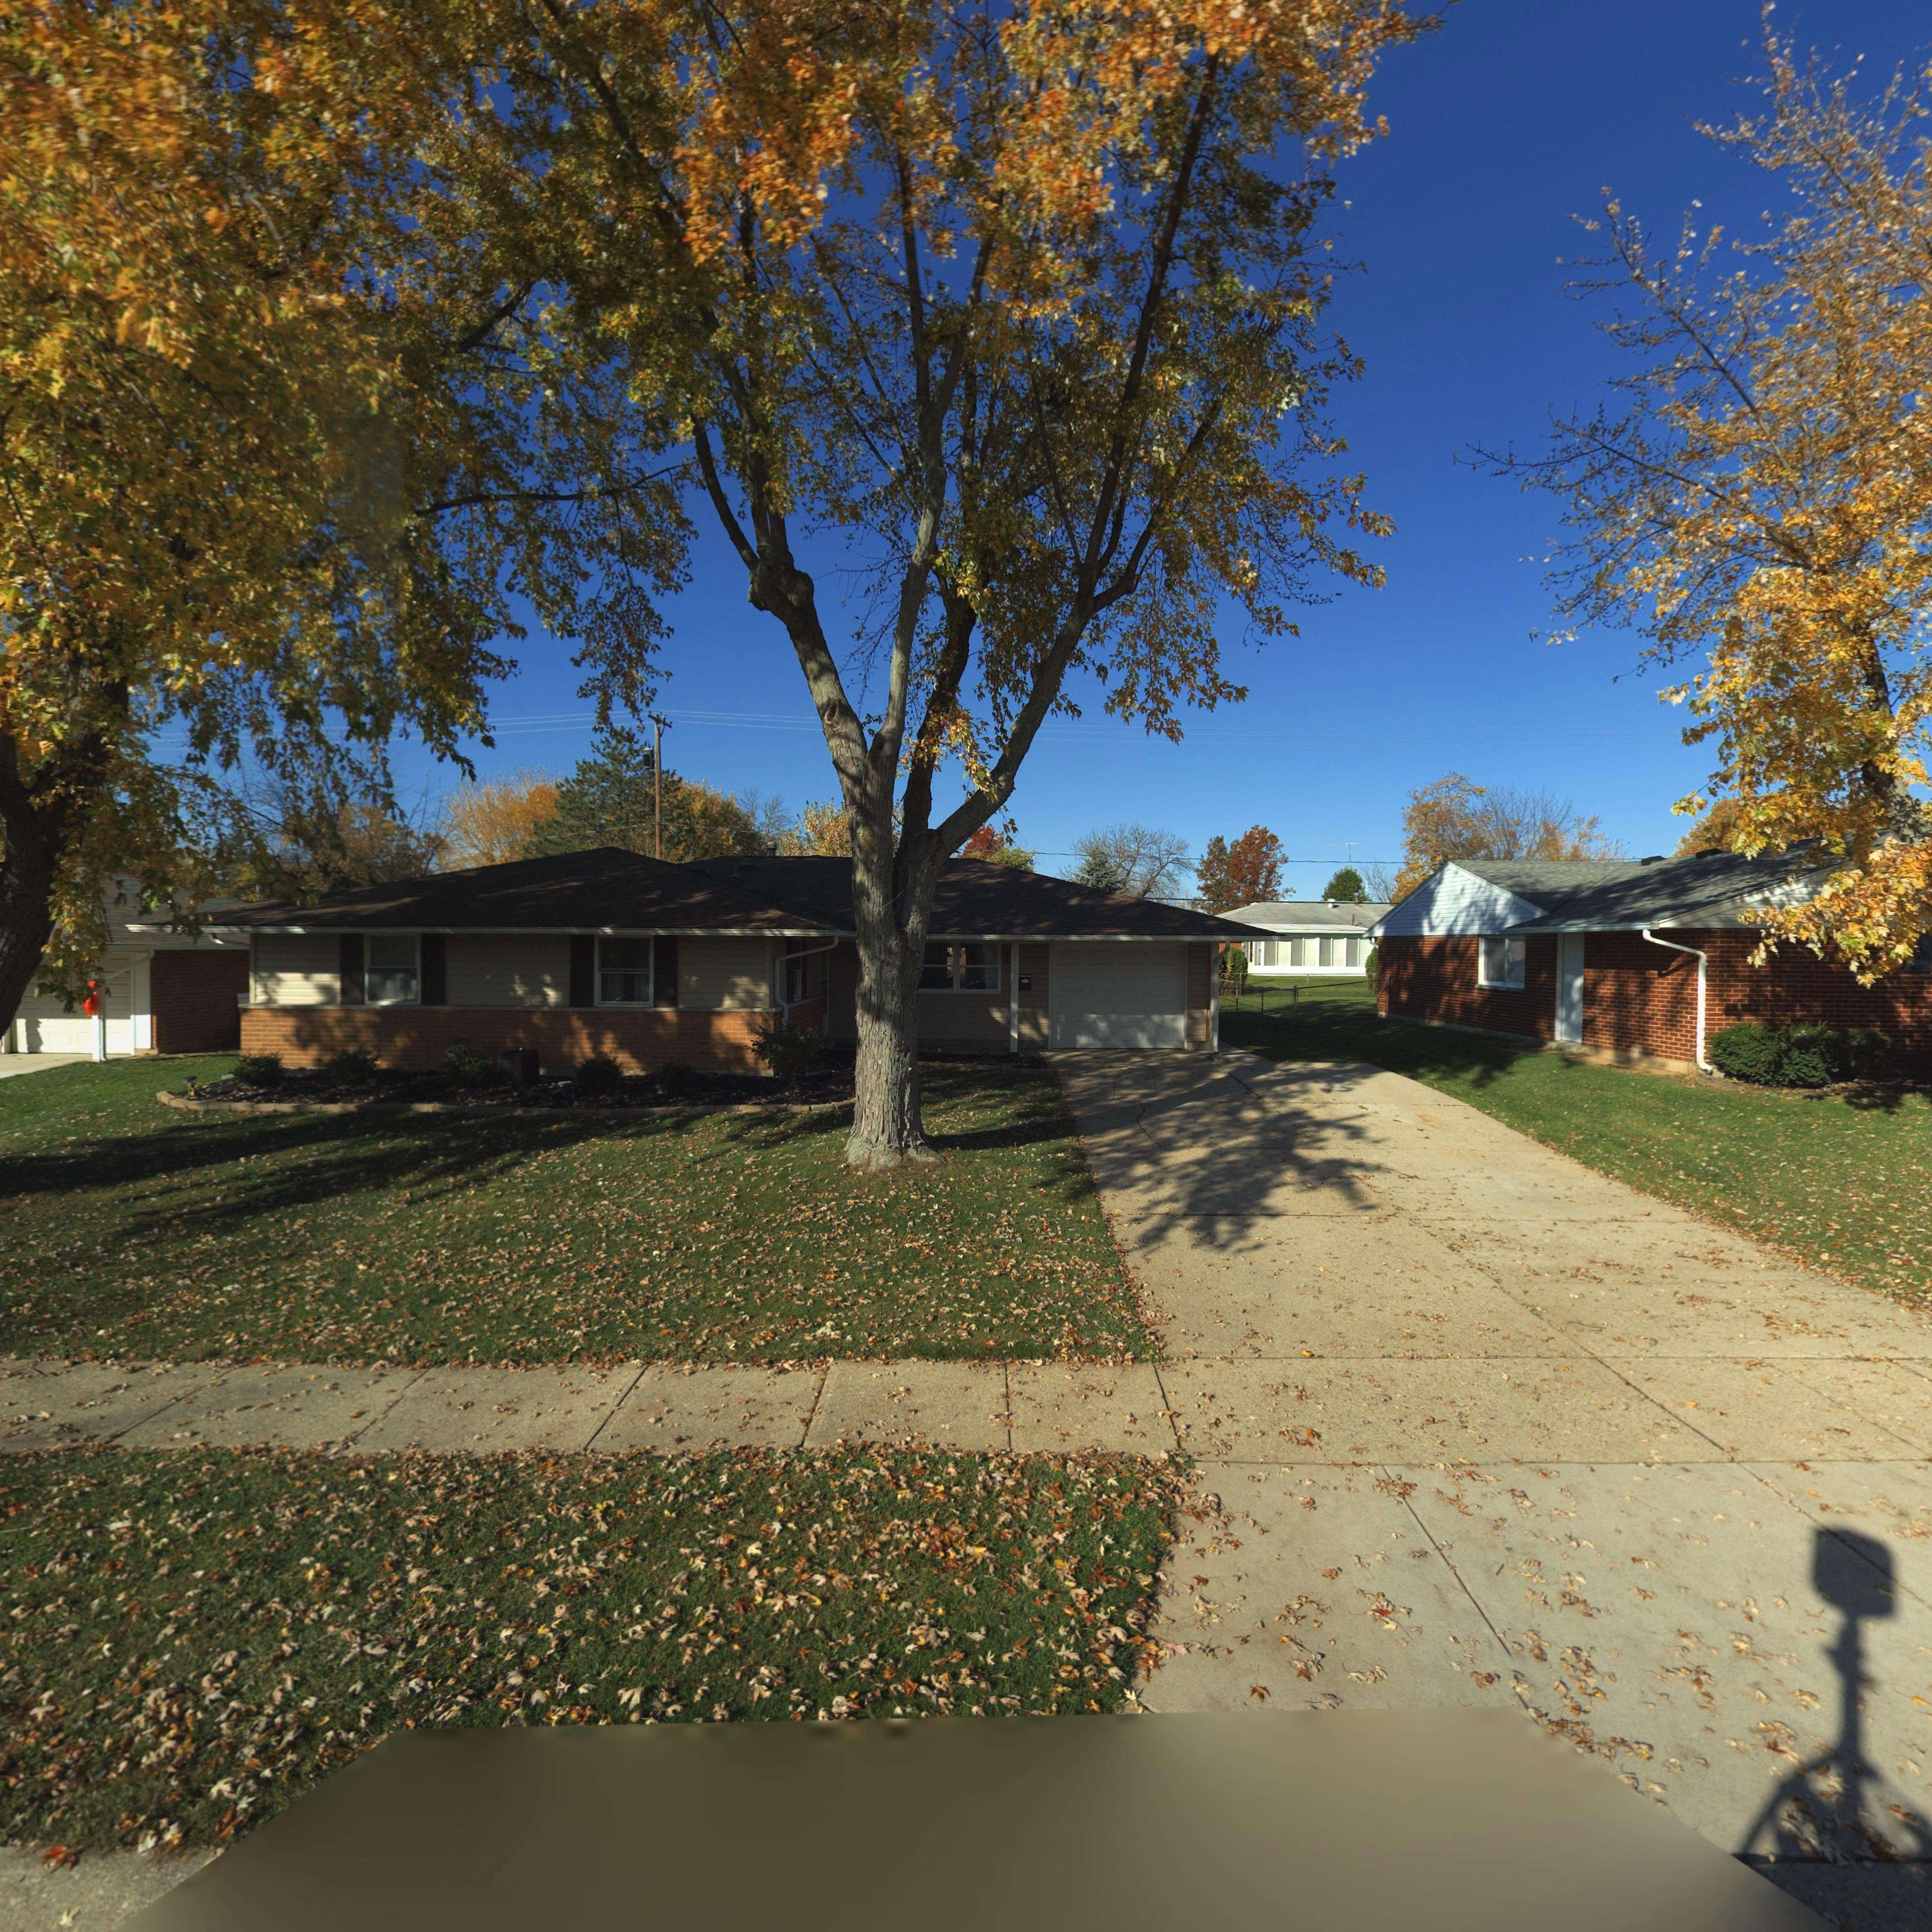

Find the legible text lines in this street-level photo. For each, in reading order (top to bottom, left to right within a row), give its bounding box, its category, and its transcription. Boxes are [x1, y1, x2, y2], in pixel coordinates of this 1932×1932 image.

[1011, 950, 1018, 983] StreetNumber: 7701